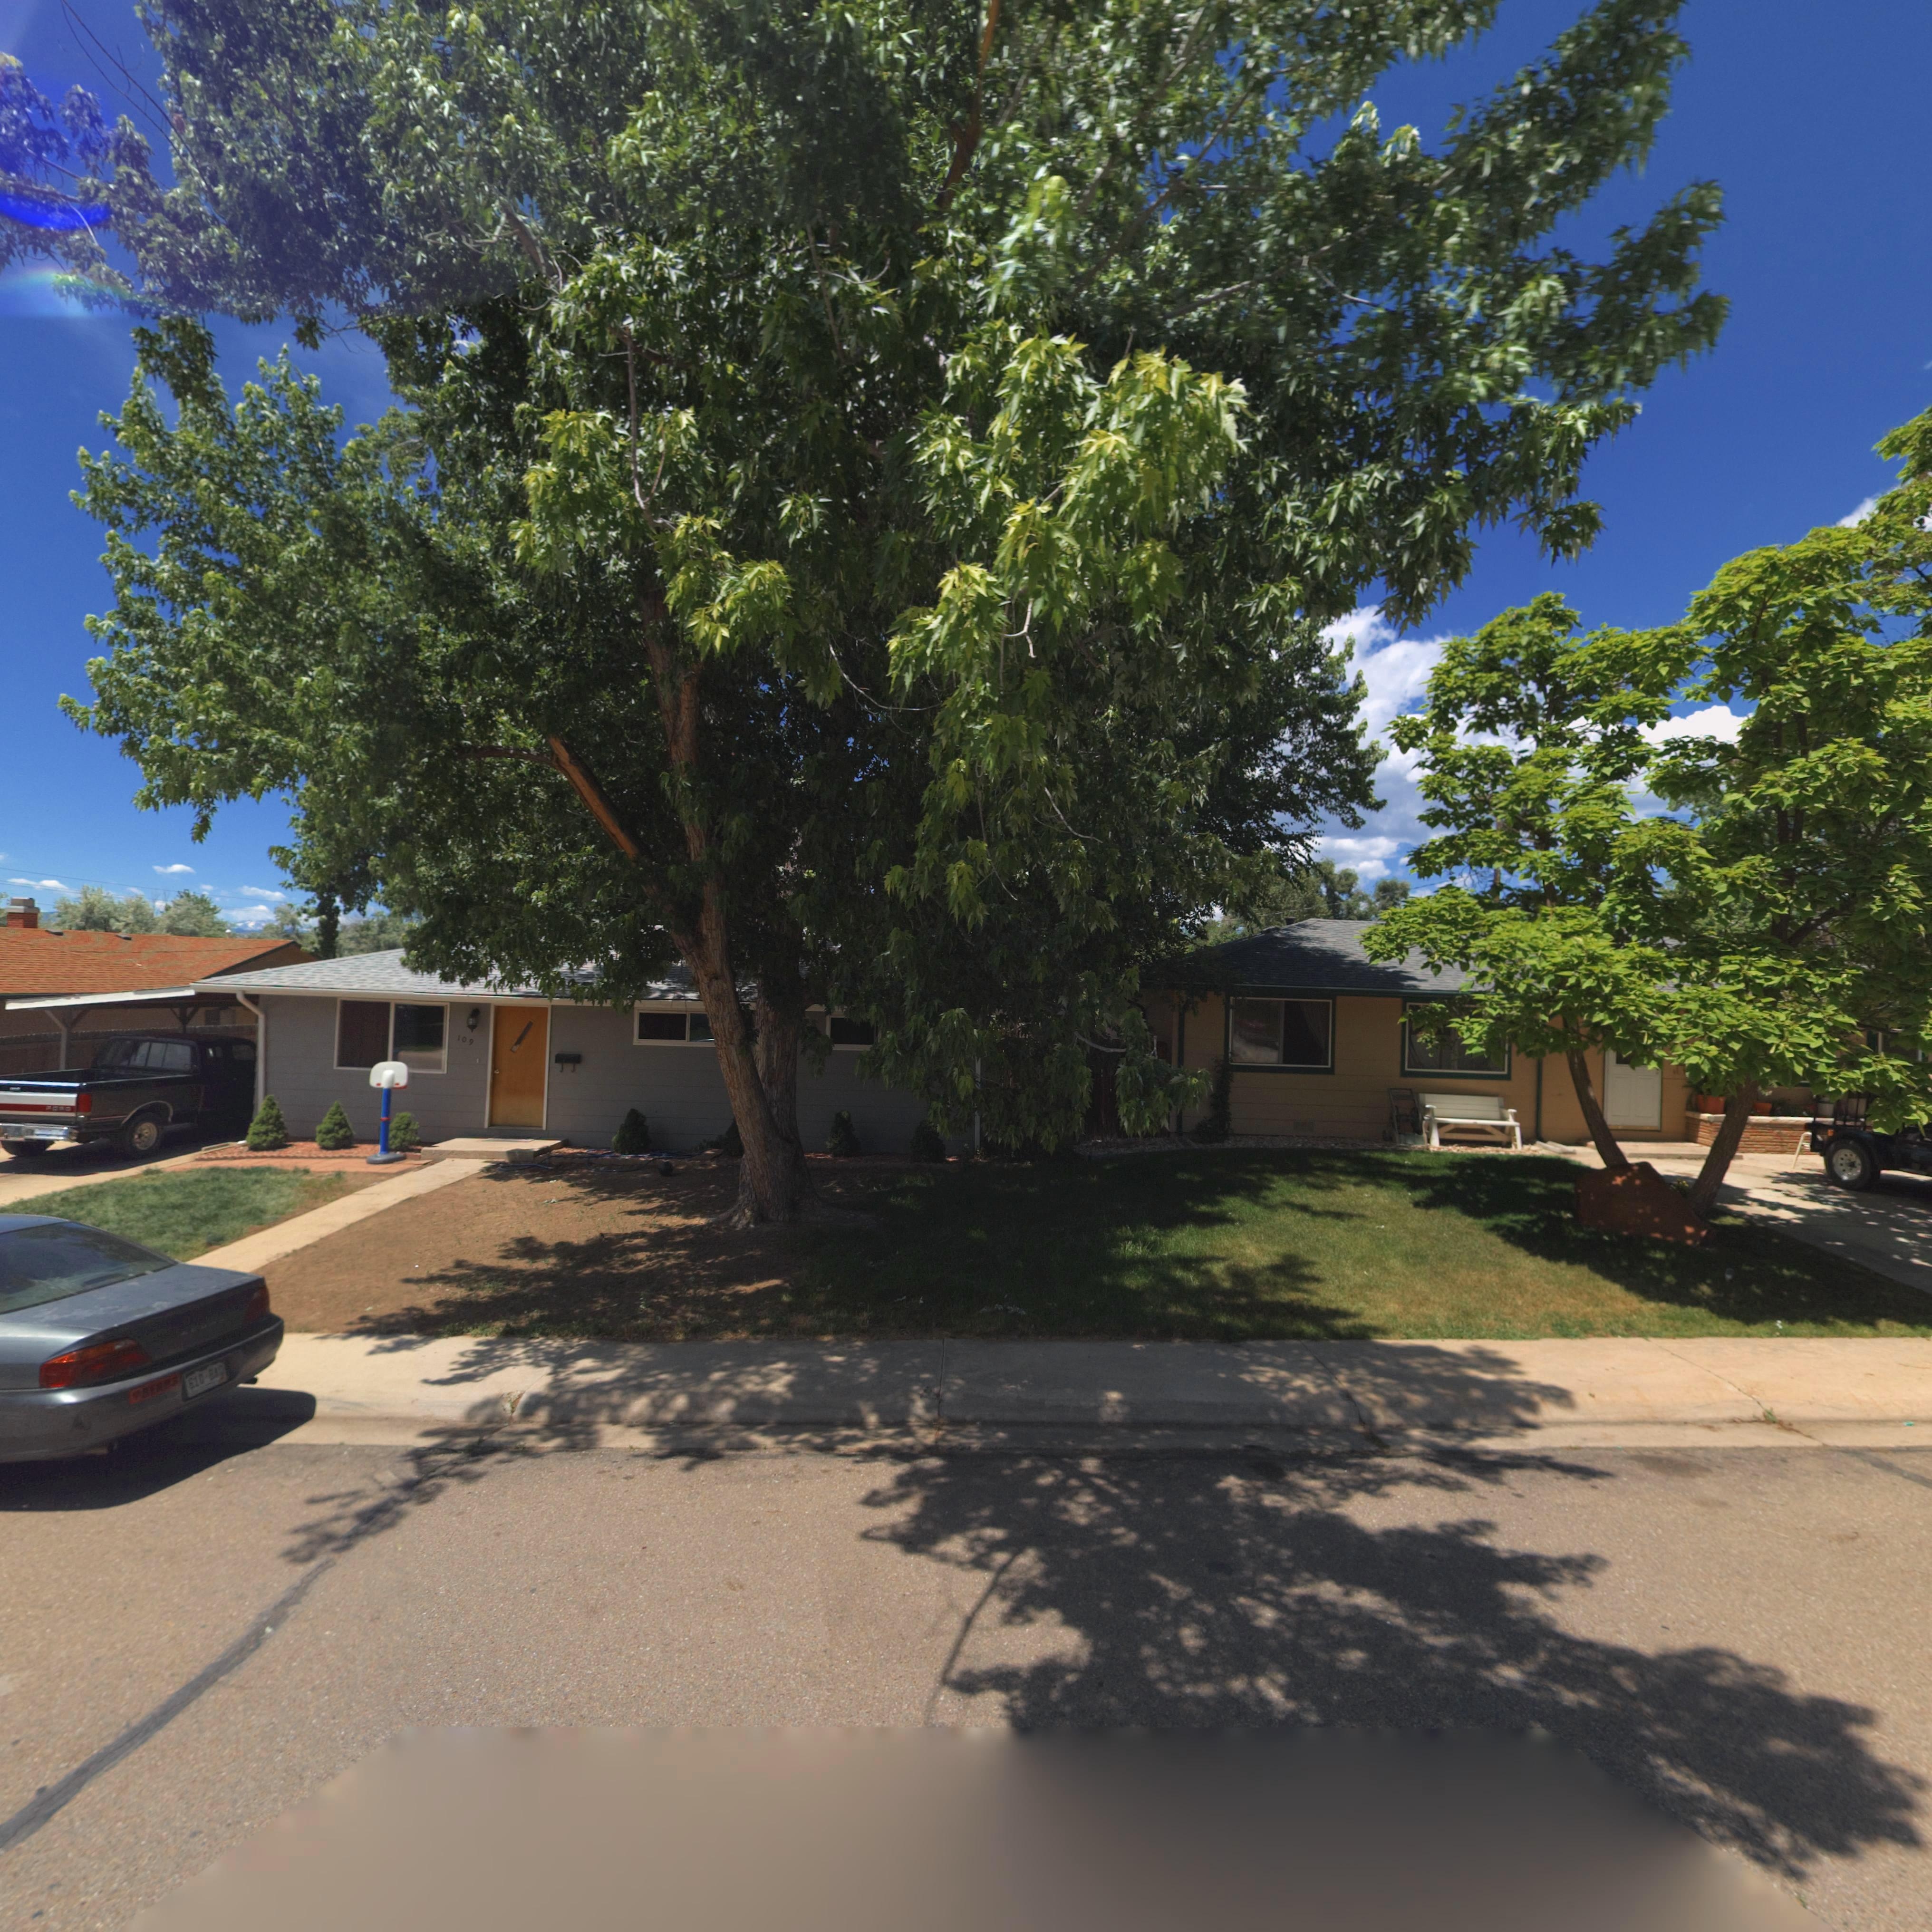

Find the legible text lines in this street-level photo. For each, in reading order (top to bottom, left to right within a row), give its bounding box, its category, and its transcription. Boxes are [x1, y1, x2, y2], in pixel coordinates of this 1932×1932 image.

[457, 1034, 473, 1046] StreetNumber: 109